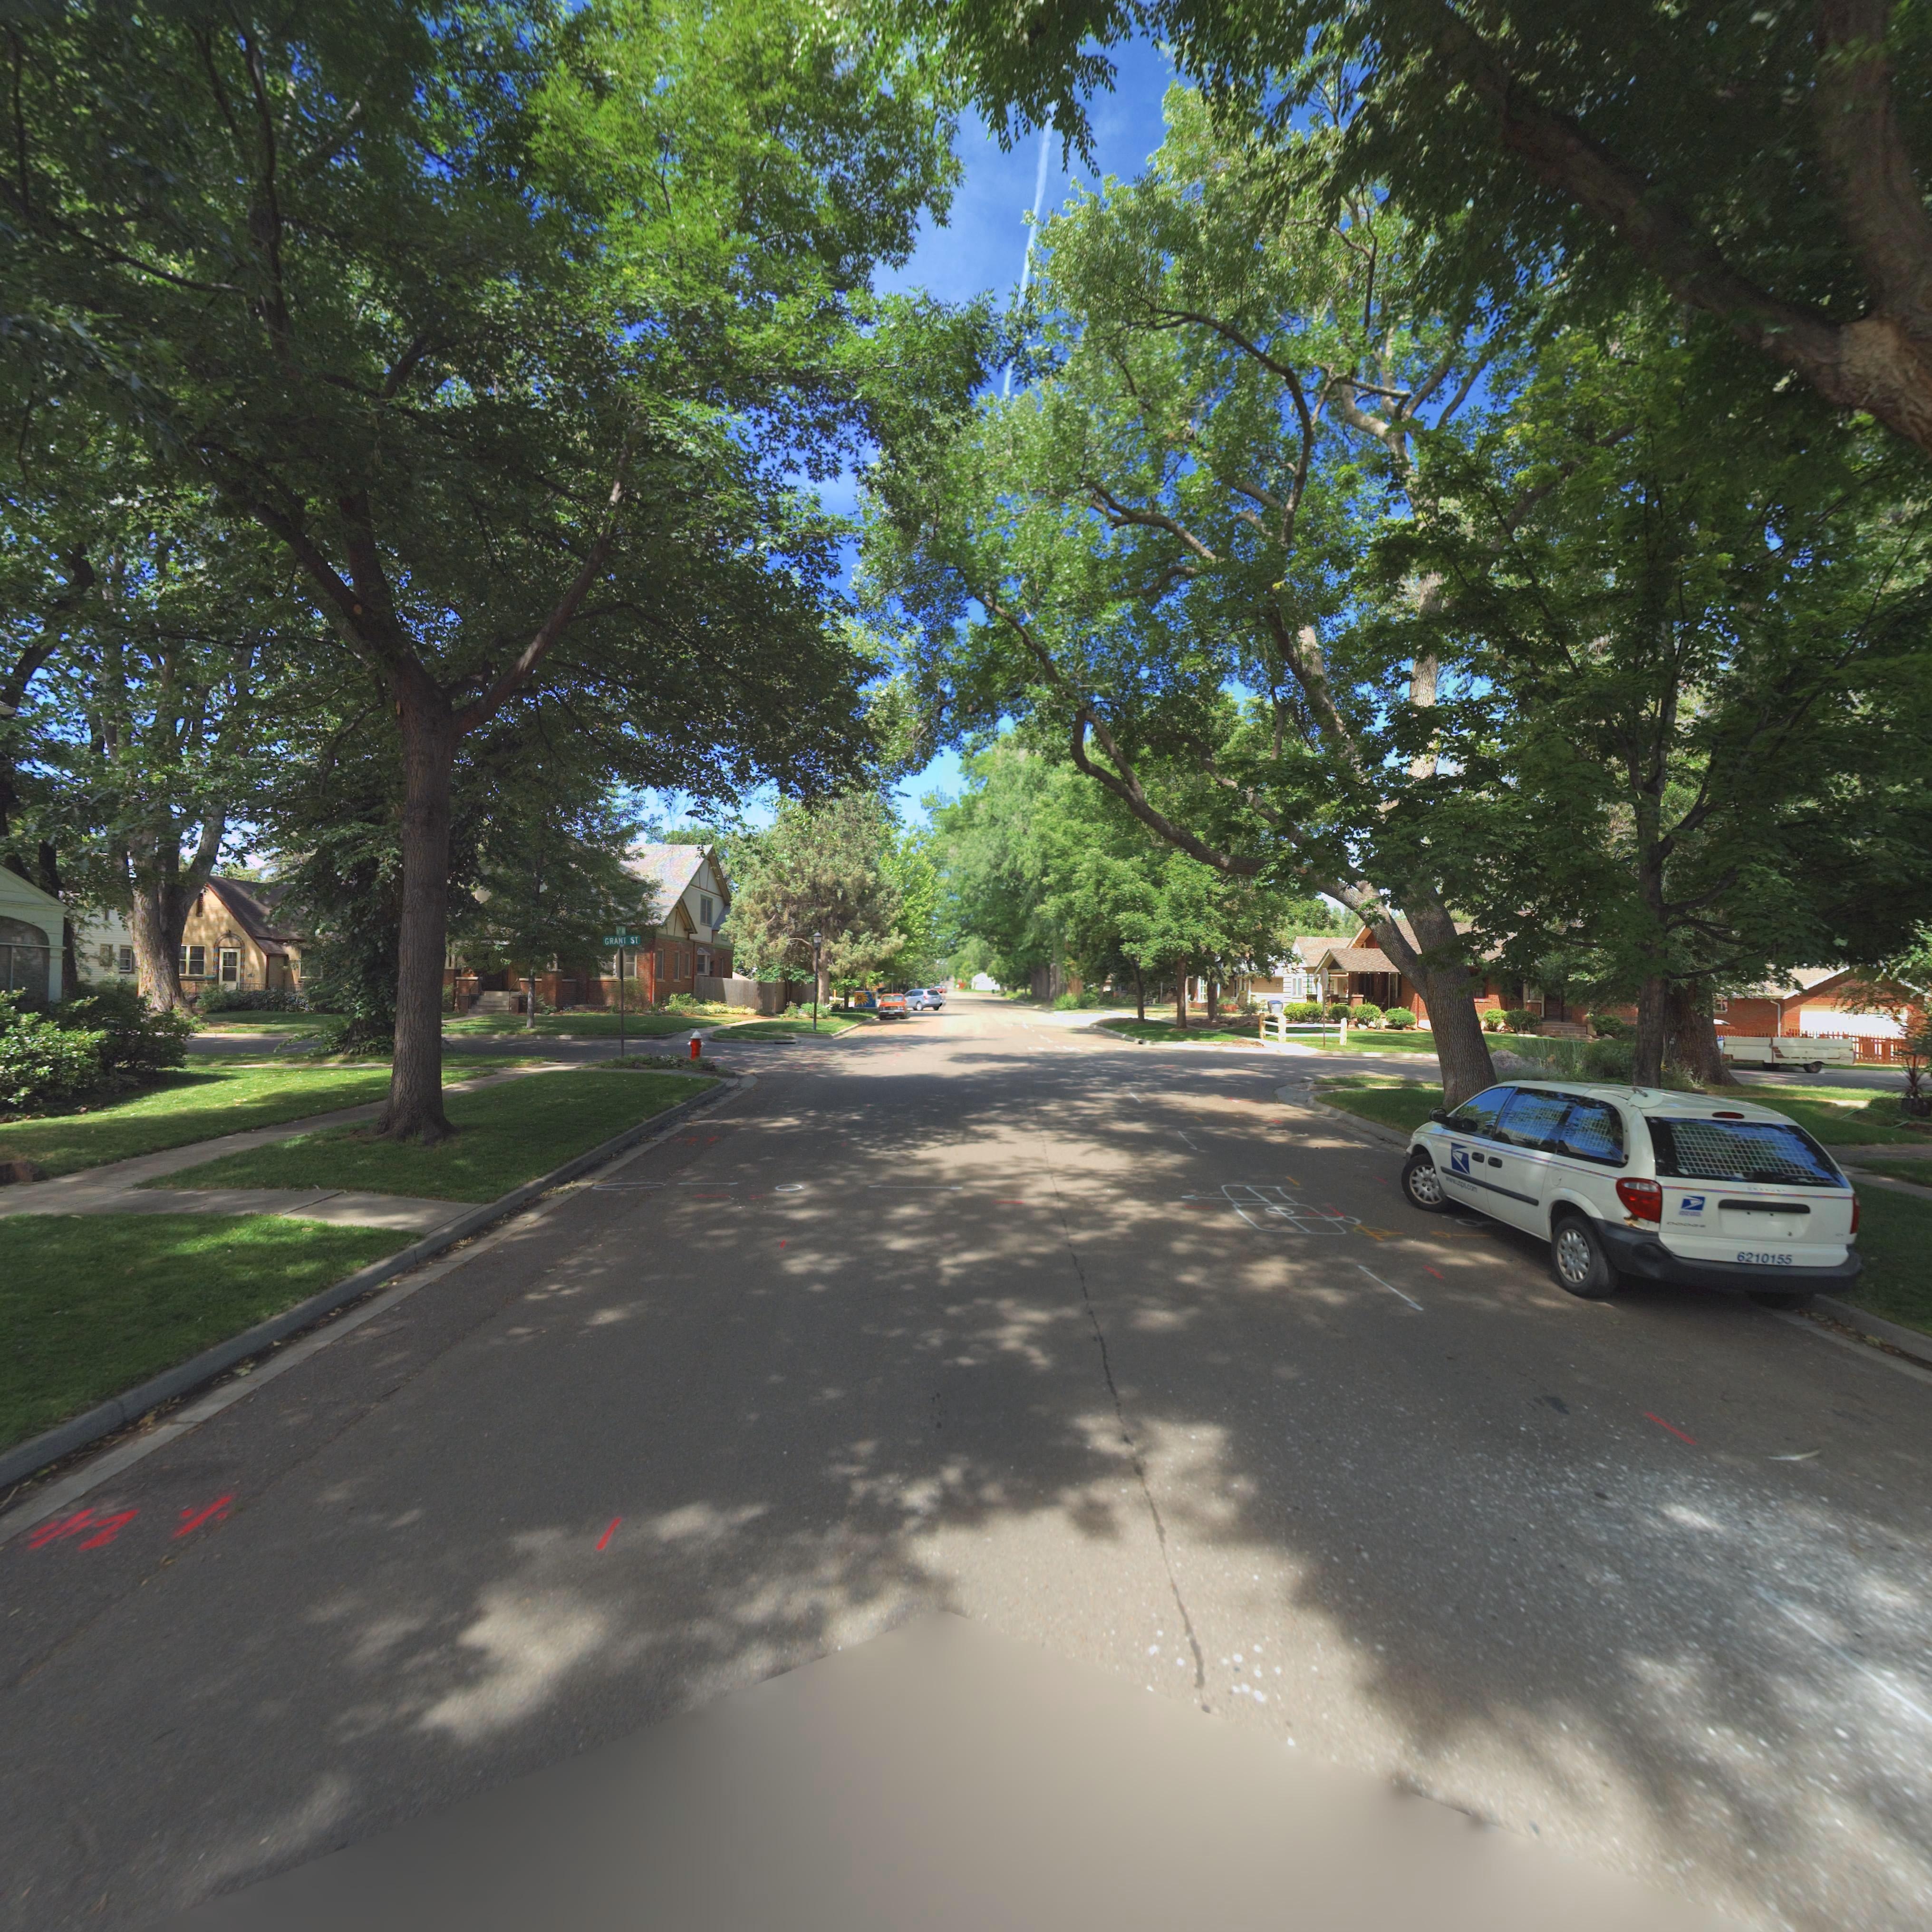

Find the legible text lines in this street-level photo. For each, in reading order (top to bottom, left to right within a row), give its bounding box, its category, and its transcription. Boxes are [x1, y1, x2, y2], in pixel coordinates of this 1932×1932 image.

[604, 936, 638, 945] StreetName: GRANT ST